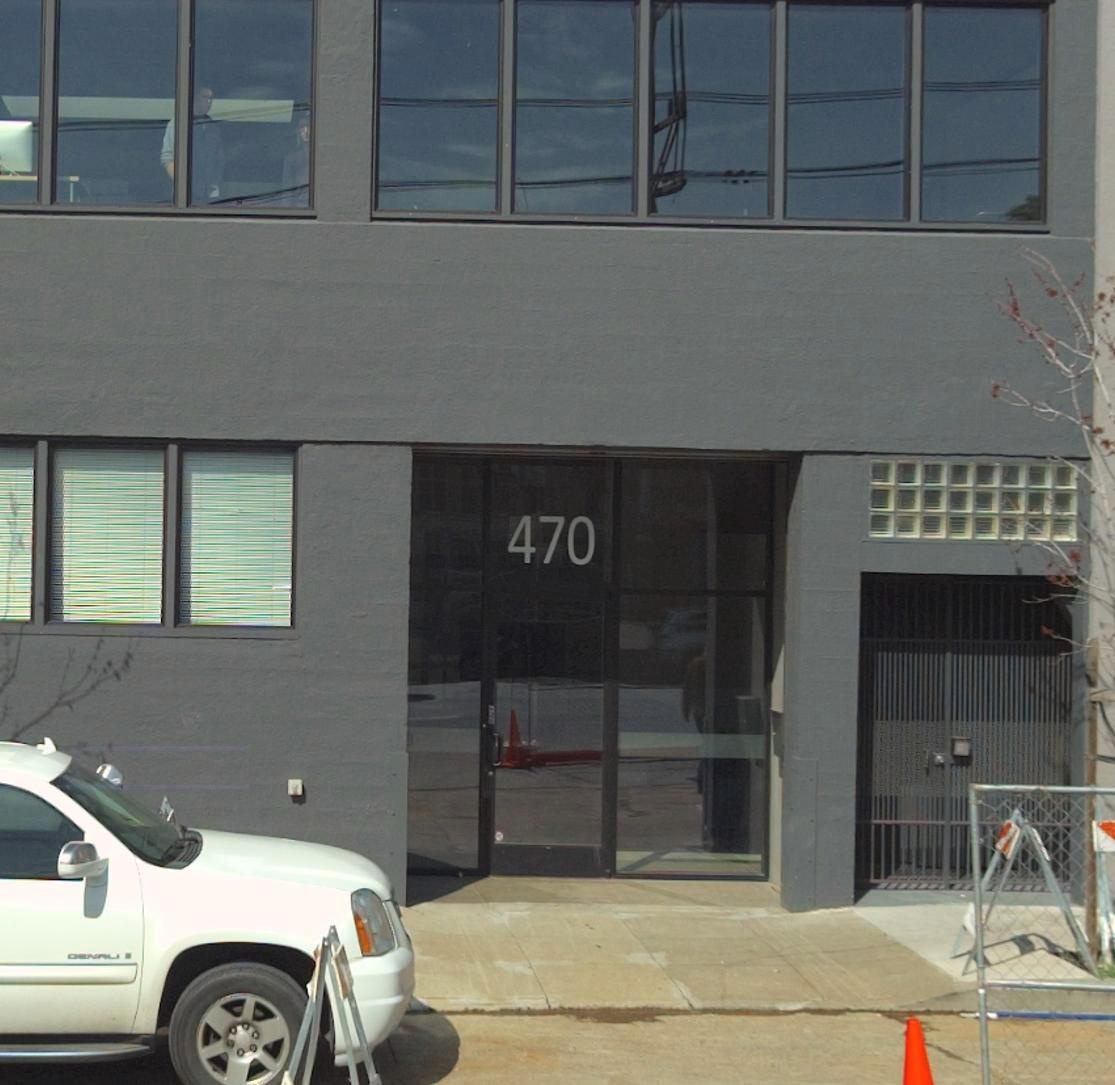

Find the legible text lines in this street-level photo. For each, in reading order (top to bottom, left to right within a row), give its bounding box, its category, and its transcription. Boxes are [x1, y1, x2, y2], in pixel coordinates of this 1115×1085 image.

[497, 510, 602, 569] StreetNumber: 470
[86, 952, 123, 962] None: N*LI